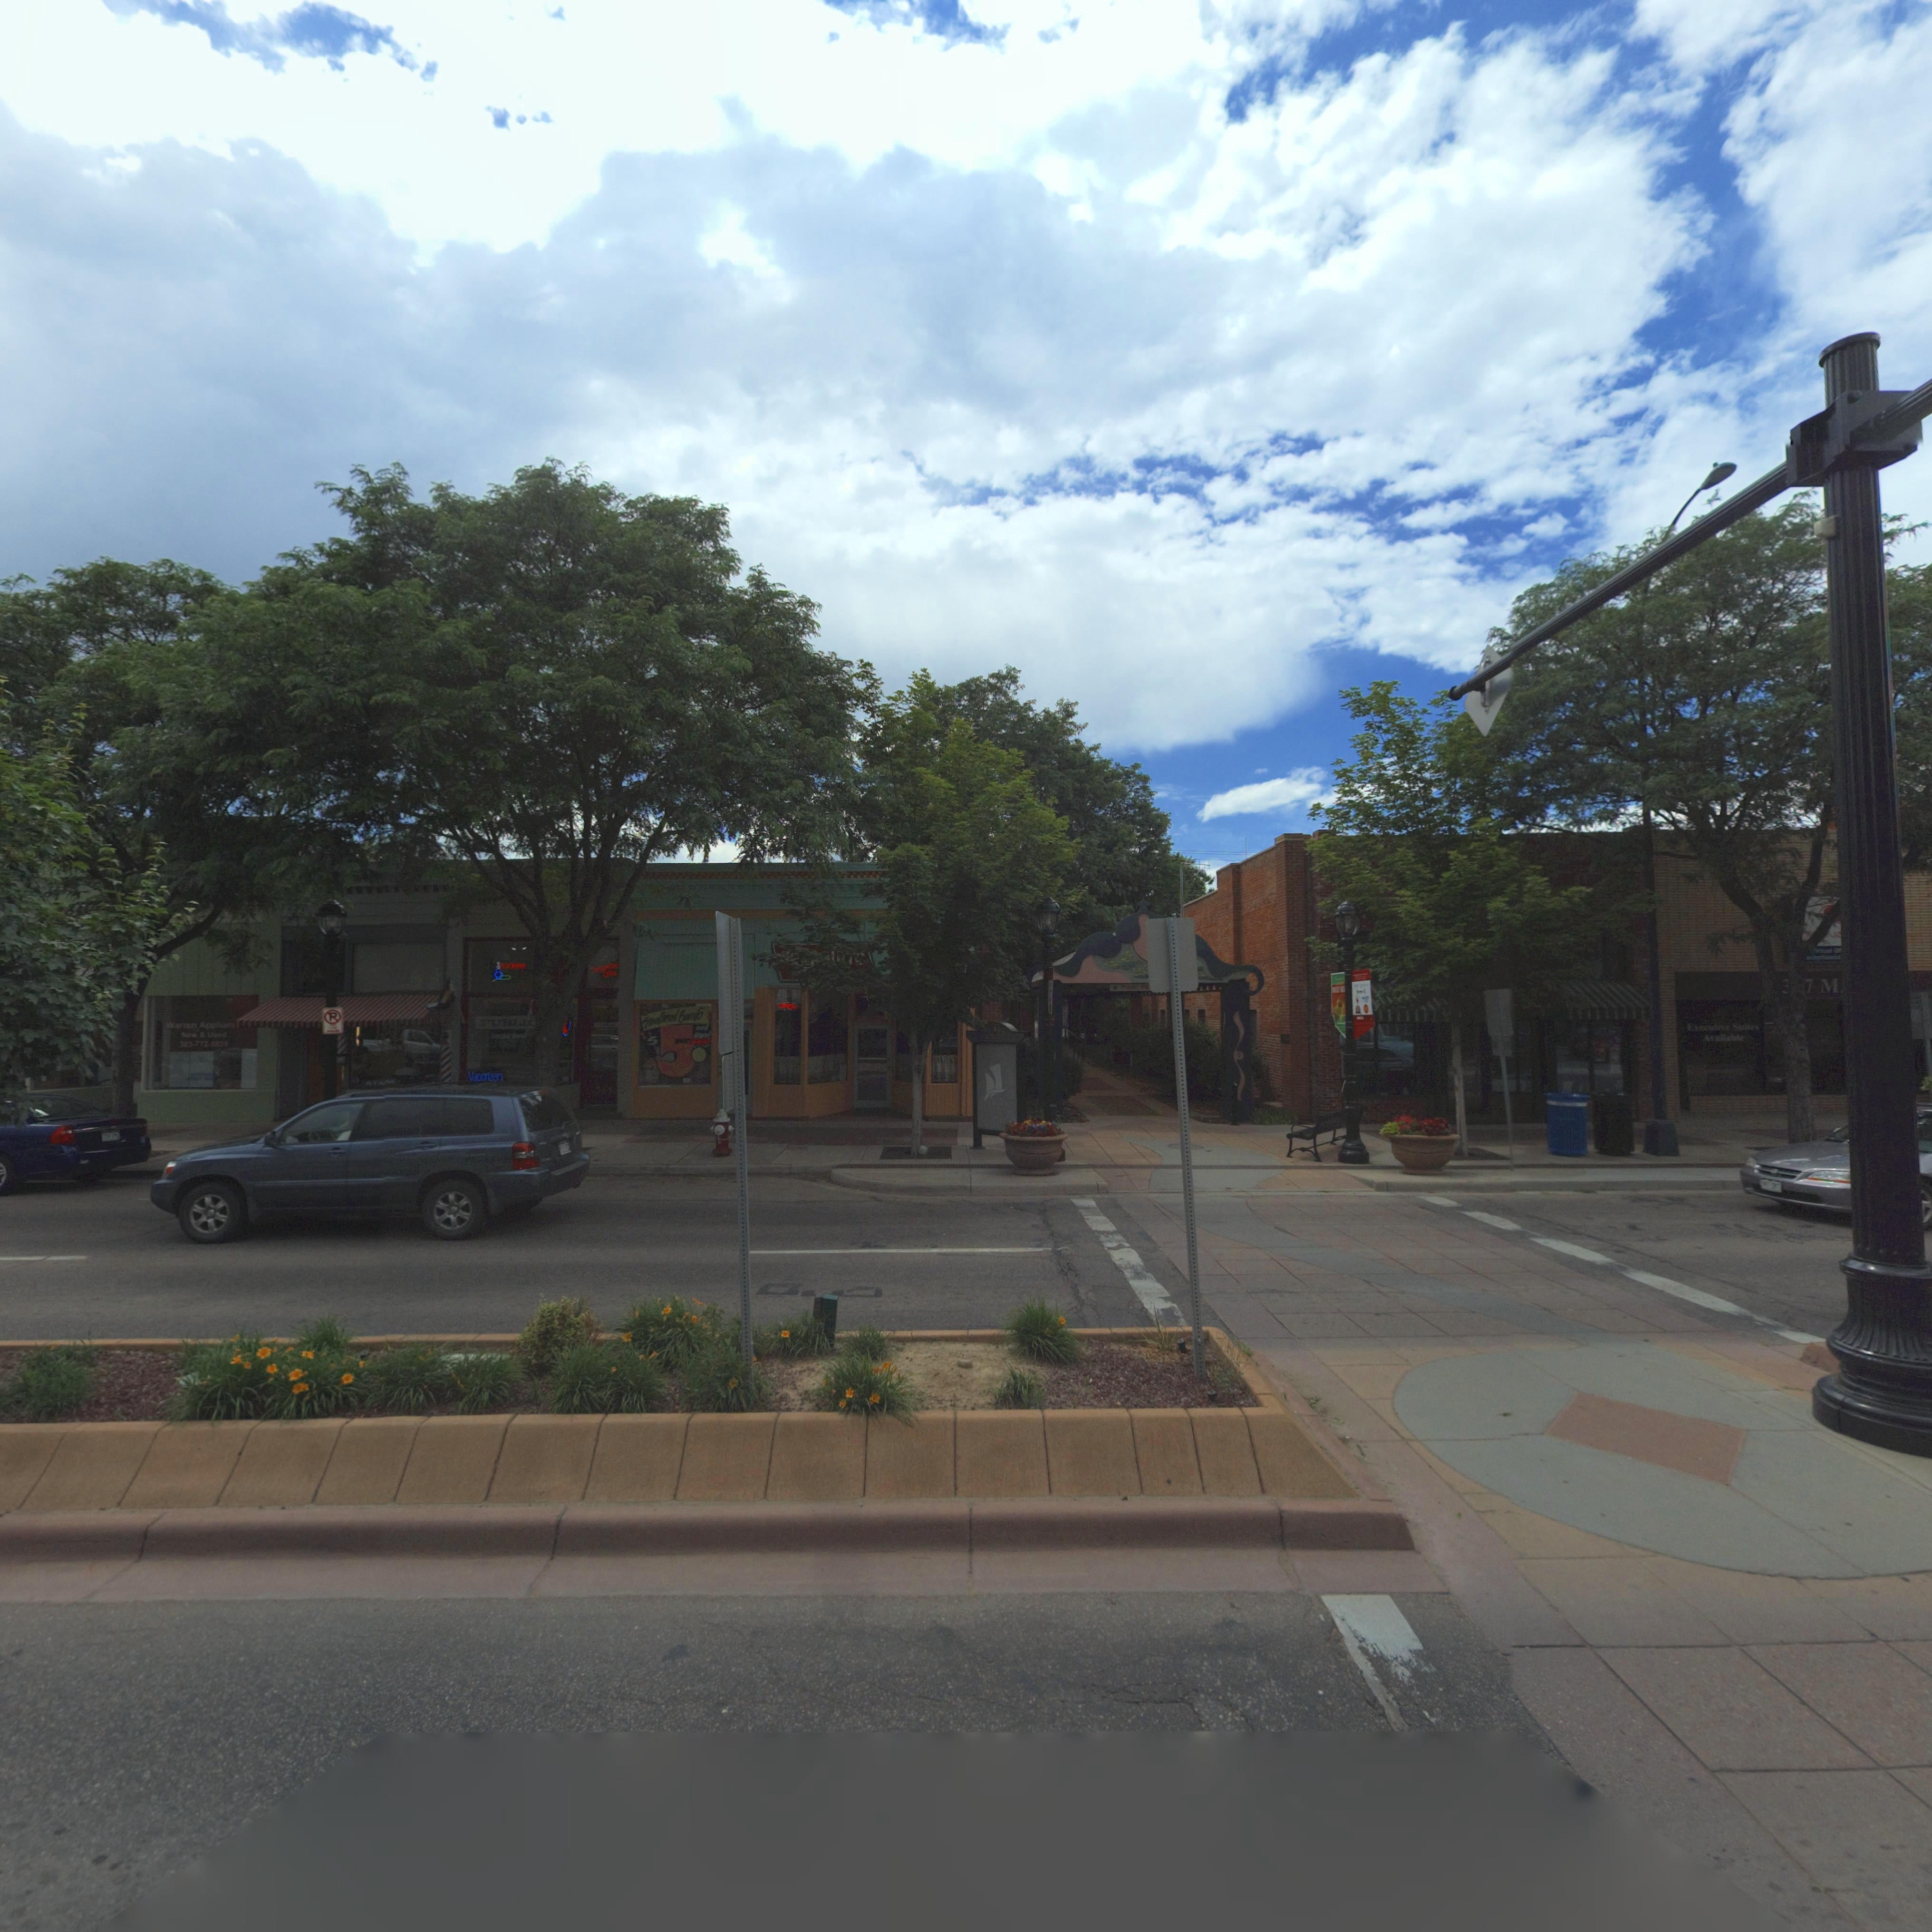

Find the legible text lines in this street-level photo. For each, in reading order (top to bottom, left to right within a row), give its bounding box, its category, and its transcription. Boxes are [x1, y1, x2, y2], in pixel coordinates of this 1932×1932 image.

[1781, 978, 1814, 994] StreetNumber: 3*7
[1818, 977, 1845, 994] StreetName: M***
[164, 1020, 235, 1030] BusinessName: Warren Applianc*
[479, 1018, 536, 1027] BusinessName: *UBLI*
[490, 1033, 527, 1039] BusinessName: SM*** SHO*